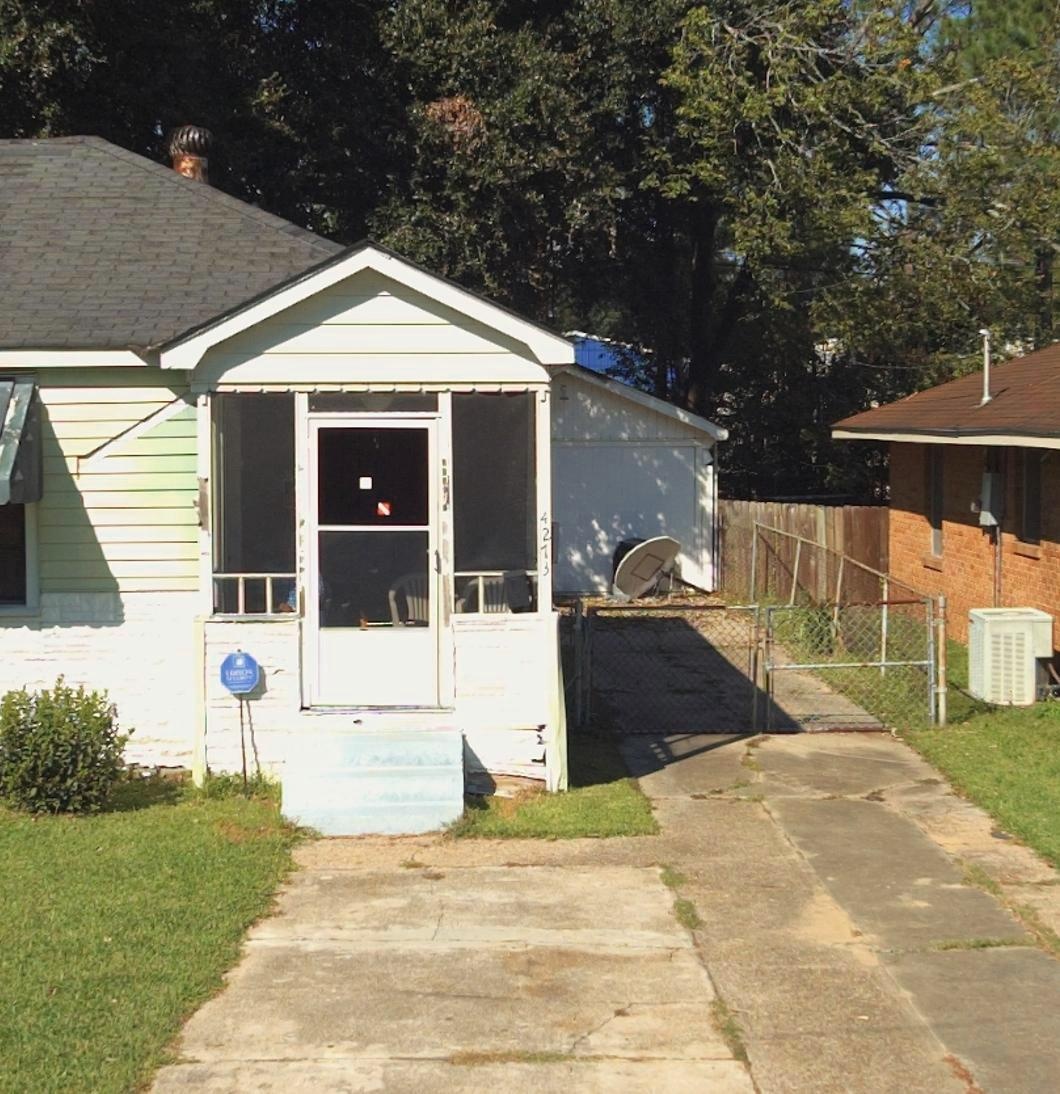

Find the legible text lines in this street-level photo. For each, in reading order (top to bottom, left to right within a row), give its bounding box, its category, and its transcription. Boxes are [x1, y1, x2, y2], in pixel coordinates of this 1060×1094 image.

[538, 509, 552, 578] StreetNumber: 4273